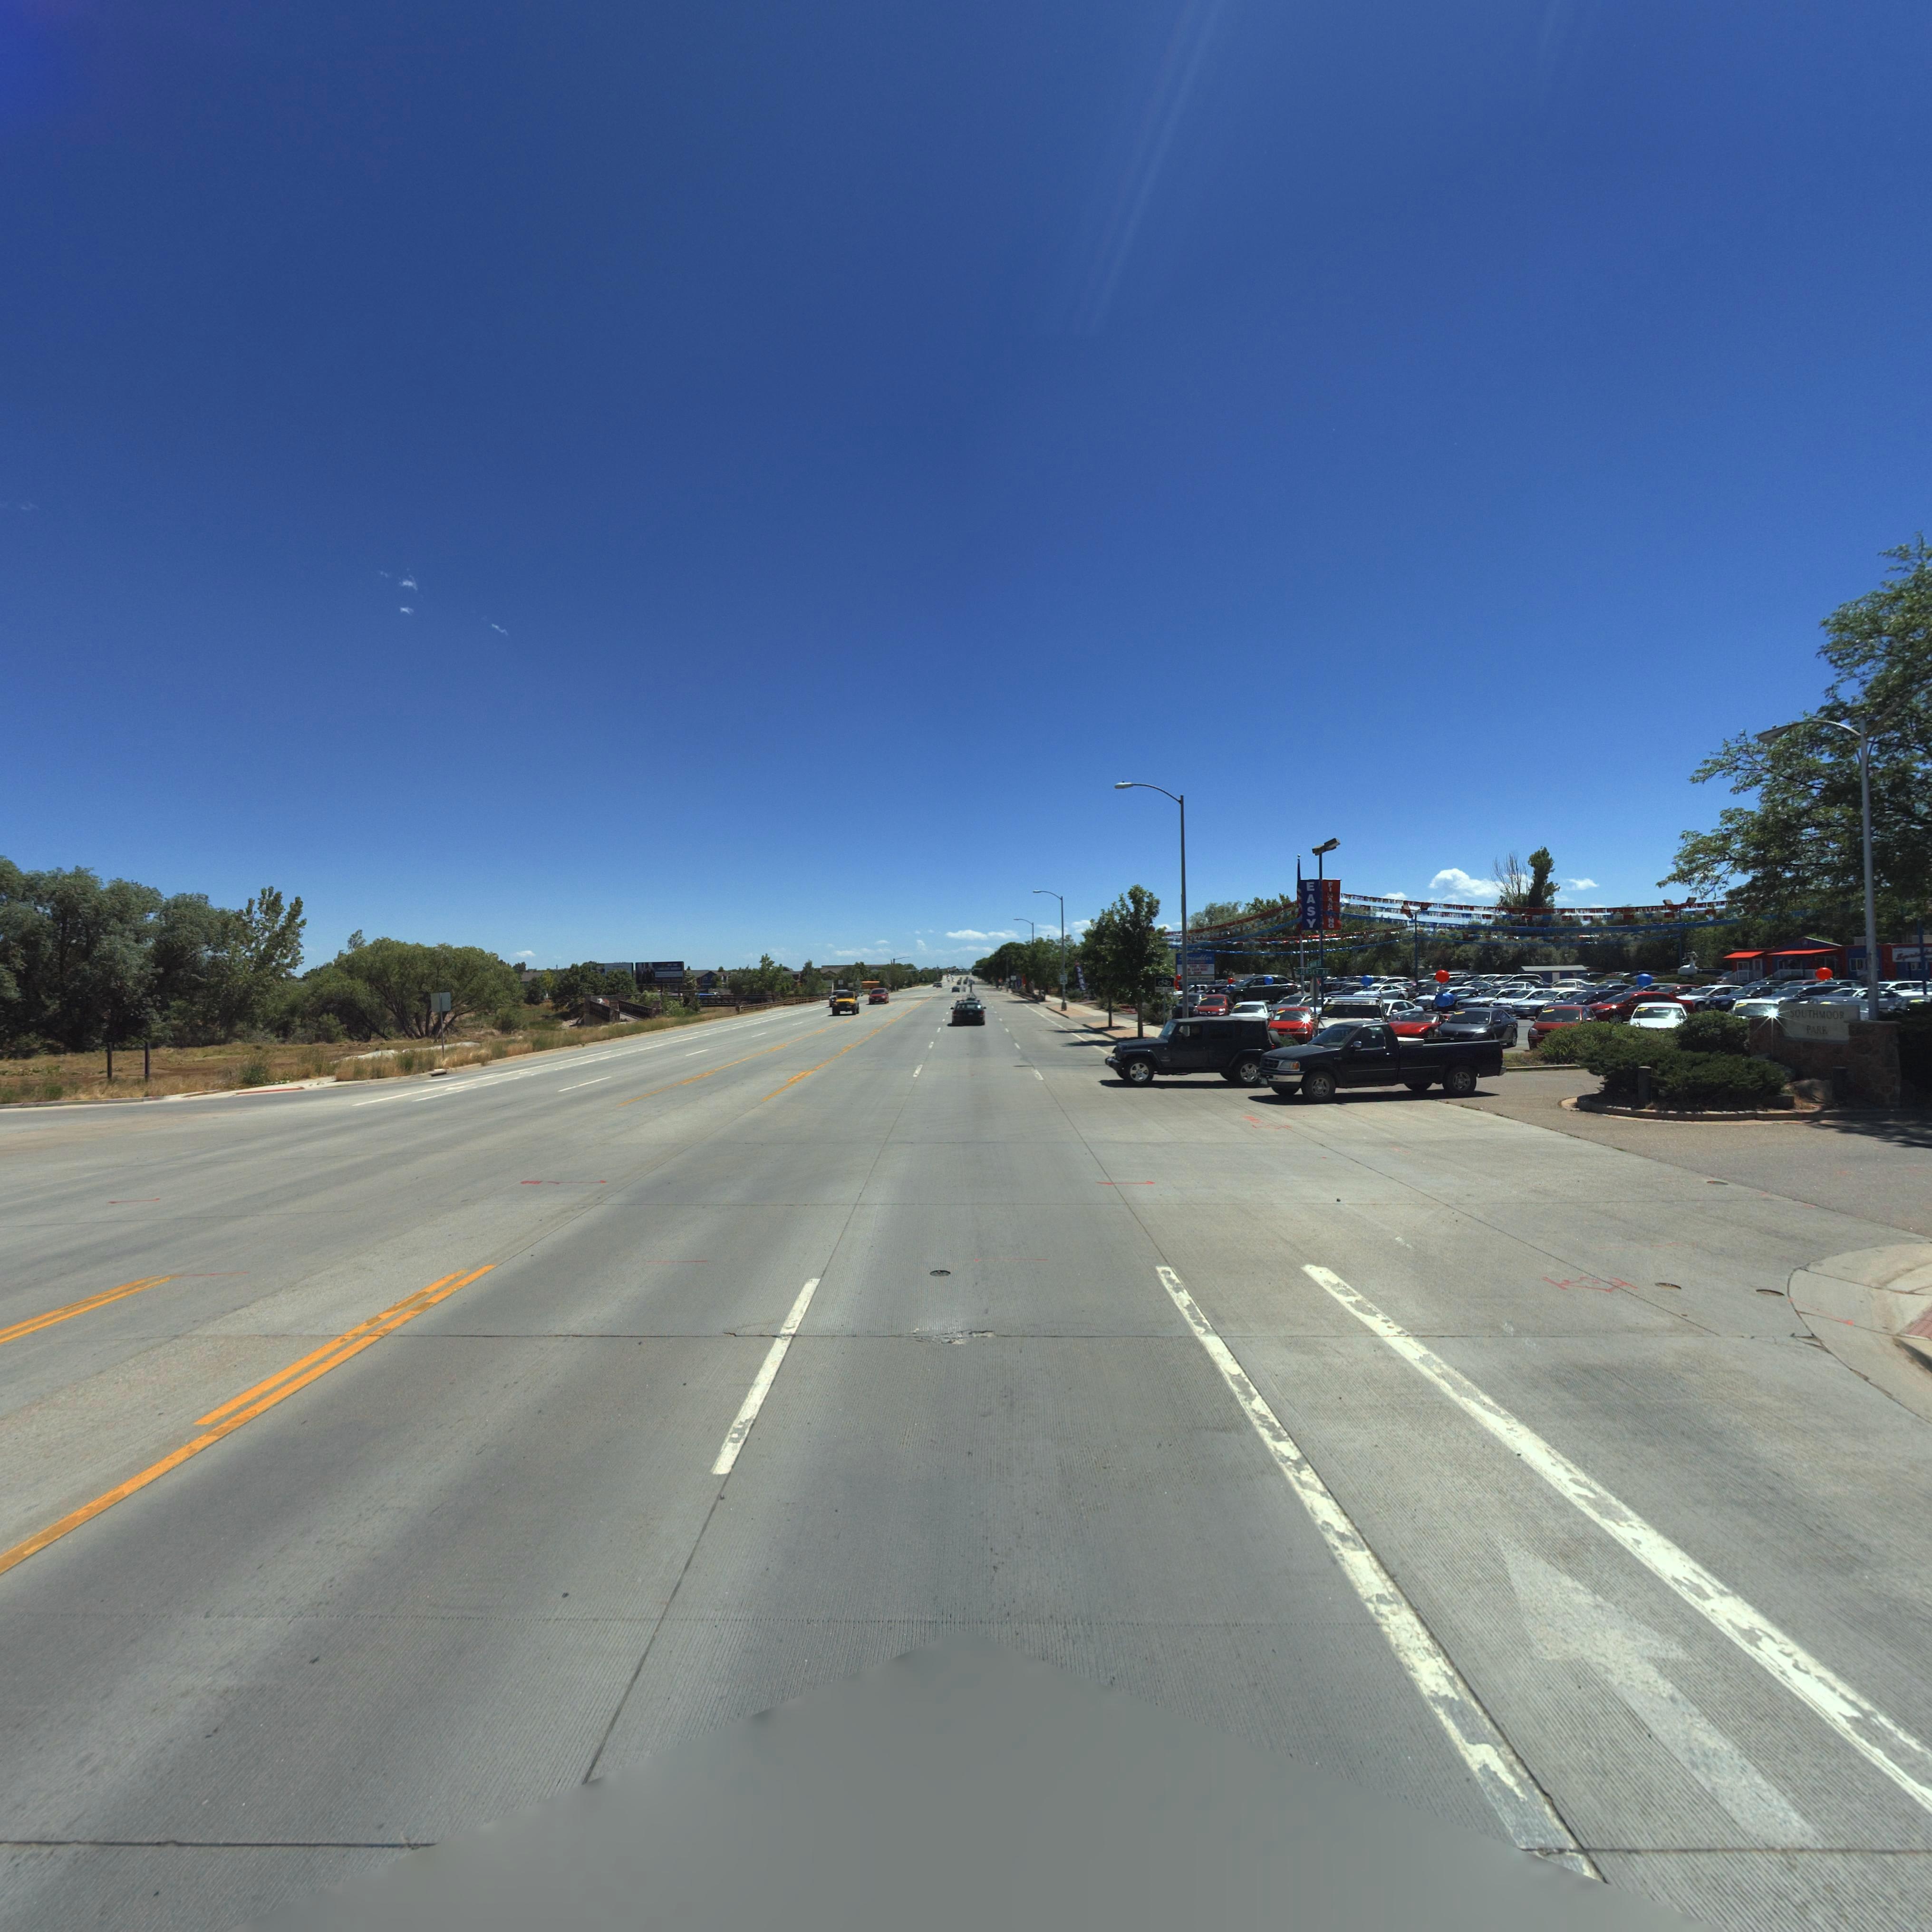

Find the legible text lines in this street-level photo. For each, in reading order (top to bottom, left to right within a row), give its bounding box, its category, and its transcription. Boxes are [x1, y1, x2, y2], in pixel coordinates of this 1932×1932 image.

[1178, 954, 1212, 960] BusinessName: S*****les
[1895, 951, 1921, 961] BusinessName: Sp****
[1310, 959, 1321, 967] StreetName: *** ST
[1300, 969, 1329, 976] StreetName: JERSEY AV